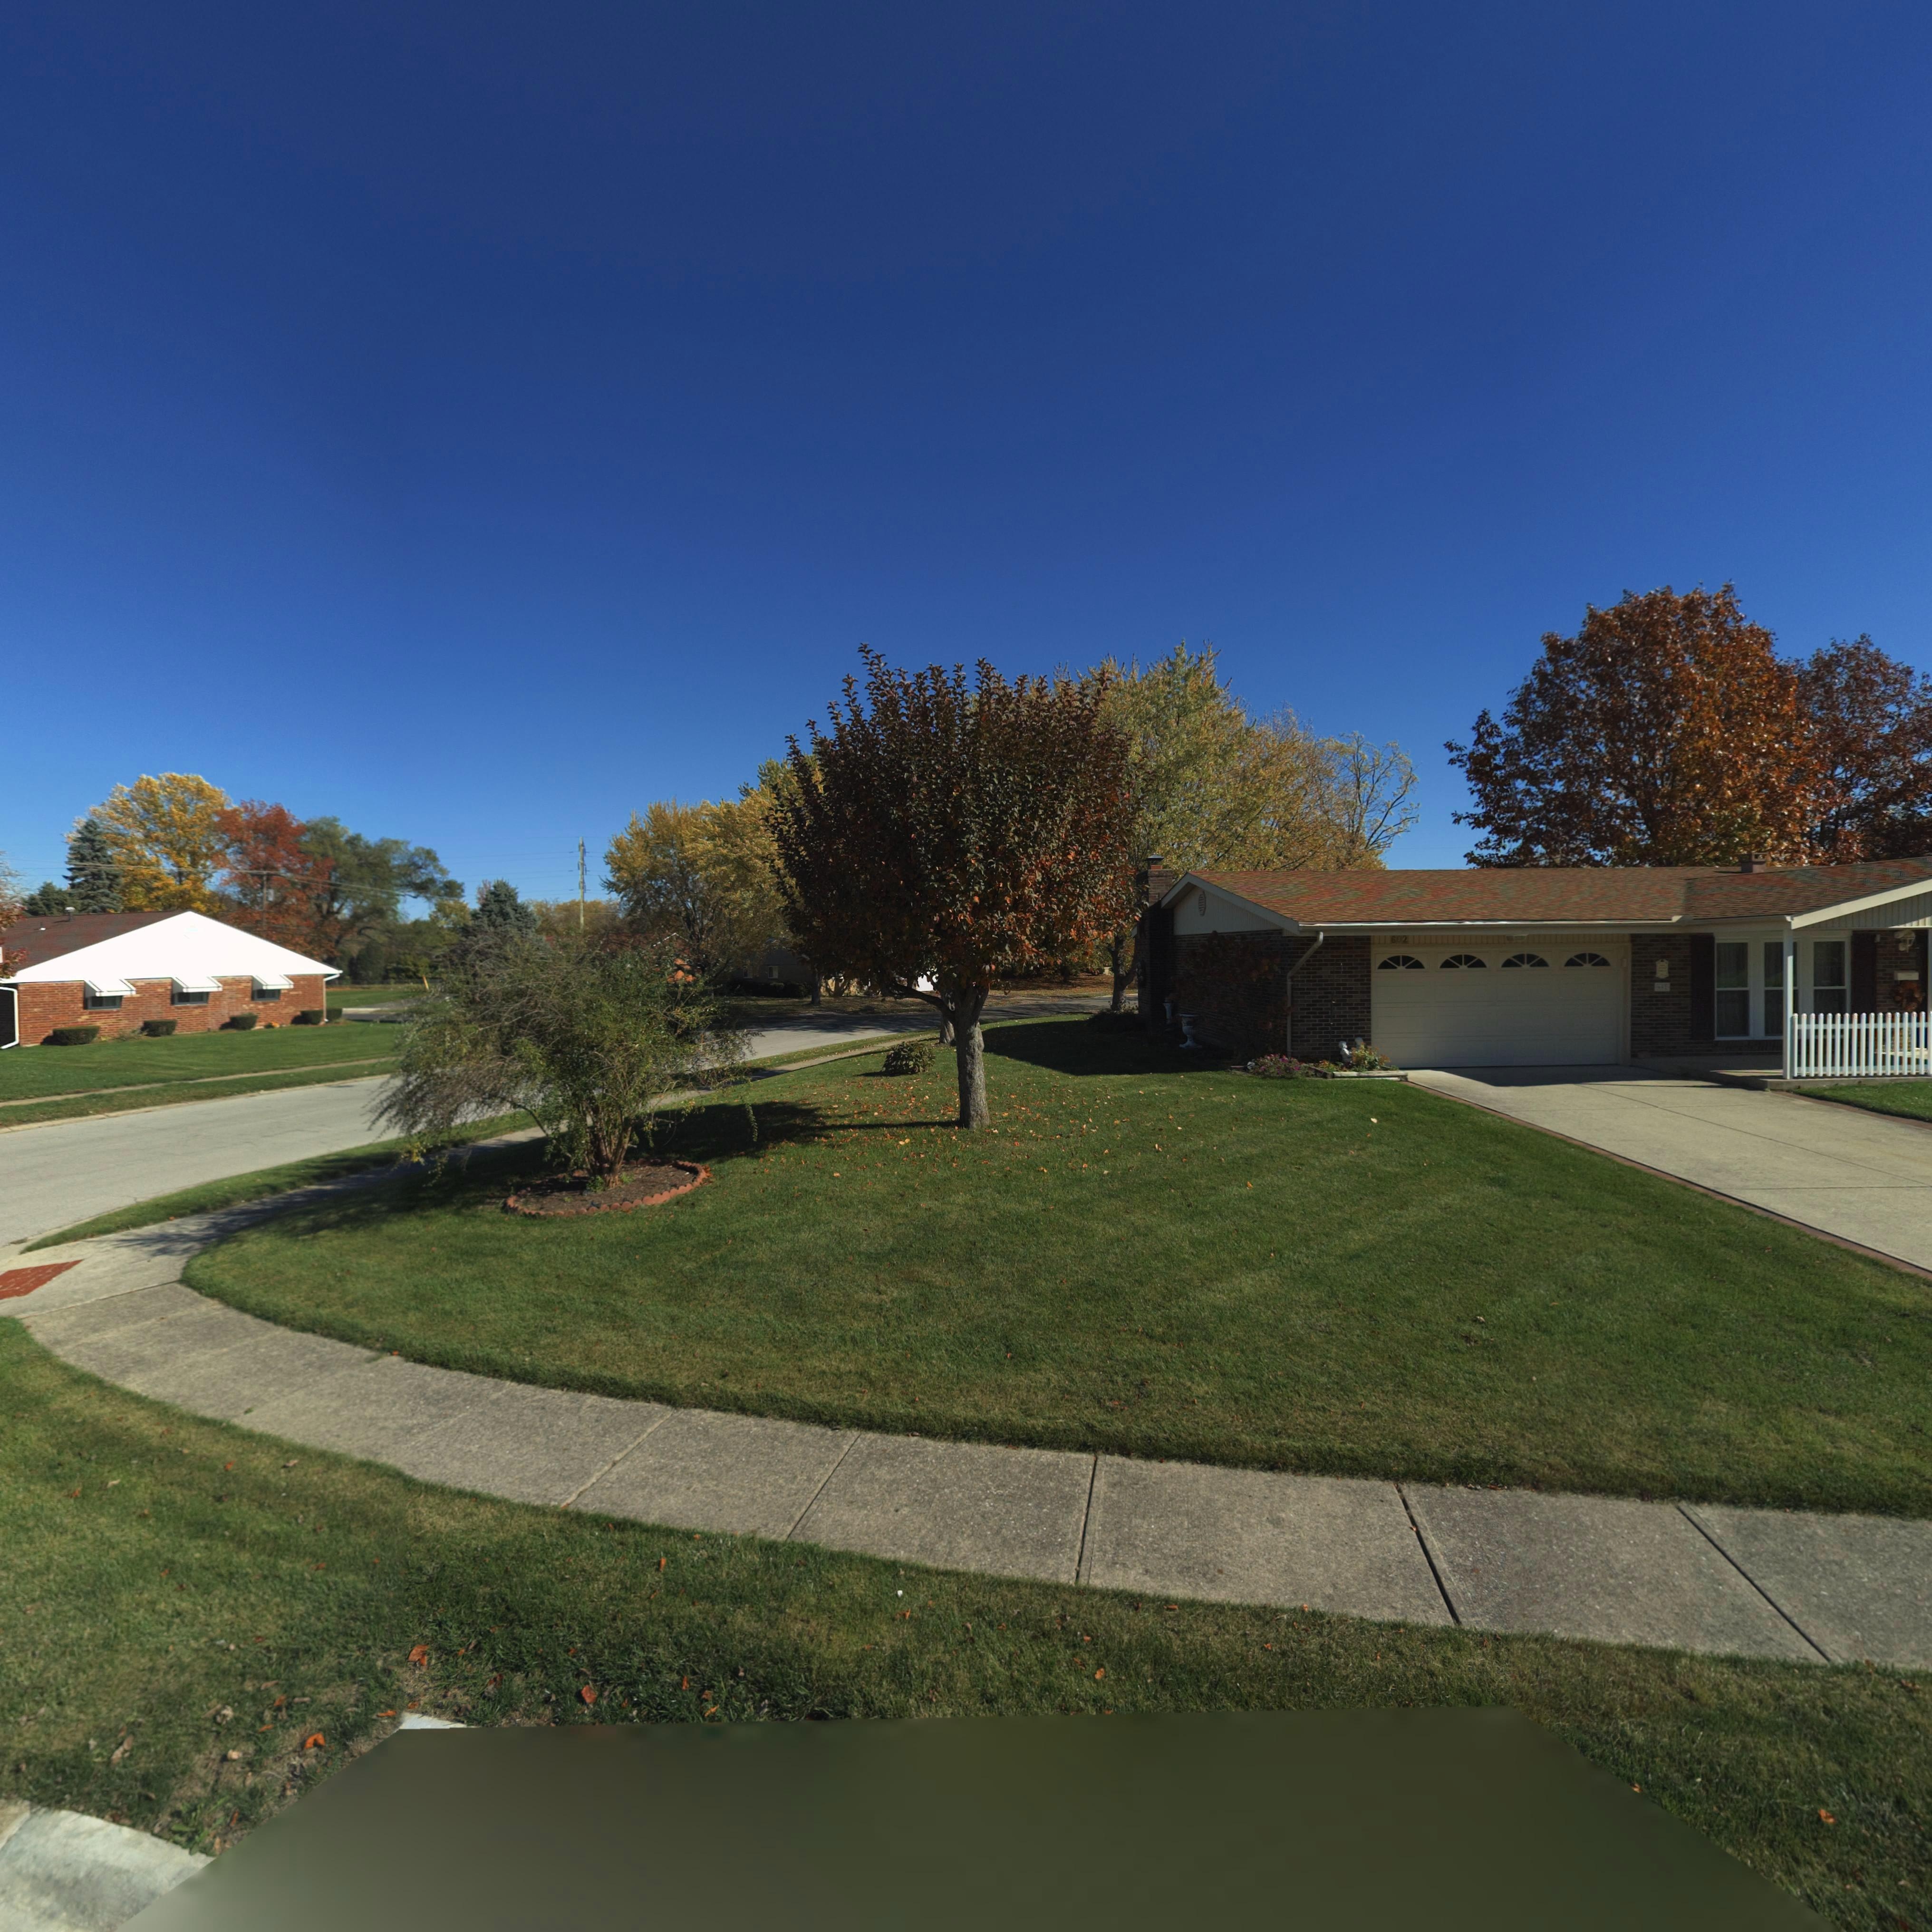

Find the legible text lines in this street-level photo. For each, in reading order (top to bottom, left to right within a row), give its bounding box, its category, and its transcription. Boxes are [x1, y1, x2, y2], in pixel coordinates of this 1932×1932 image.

[1390, 935, 1408, 943] StreetNumber: 602
[1656, 984, 1668, 990] StreetNumber: *02